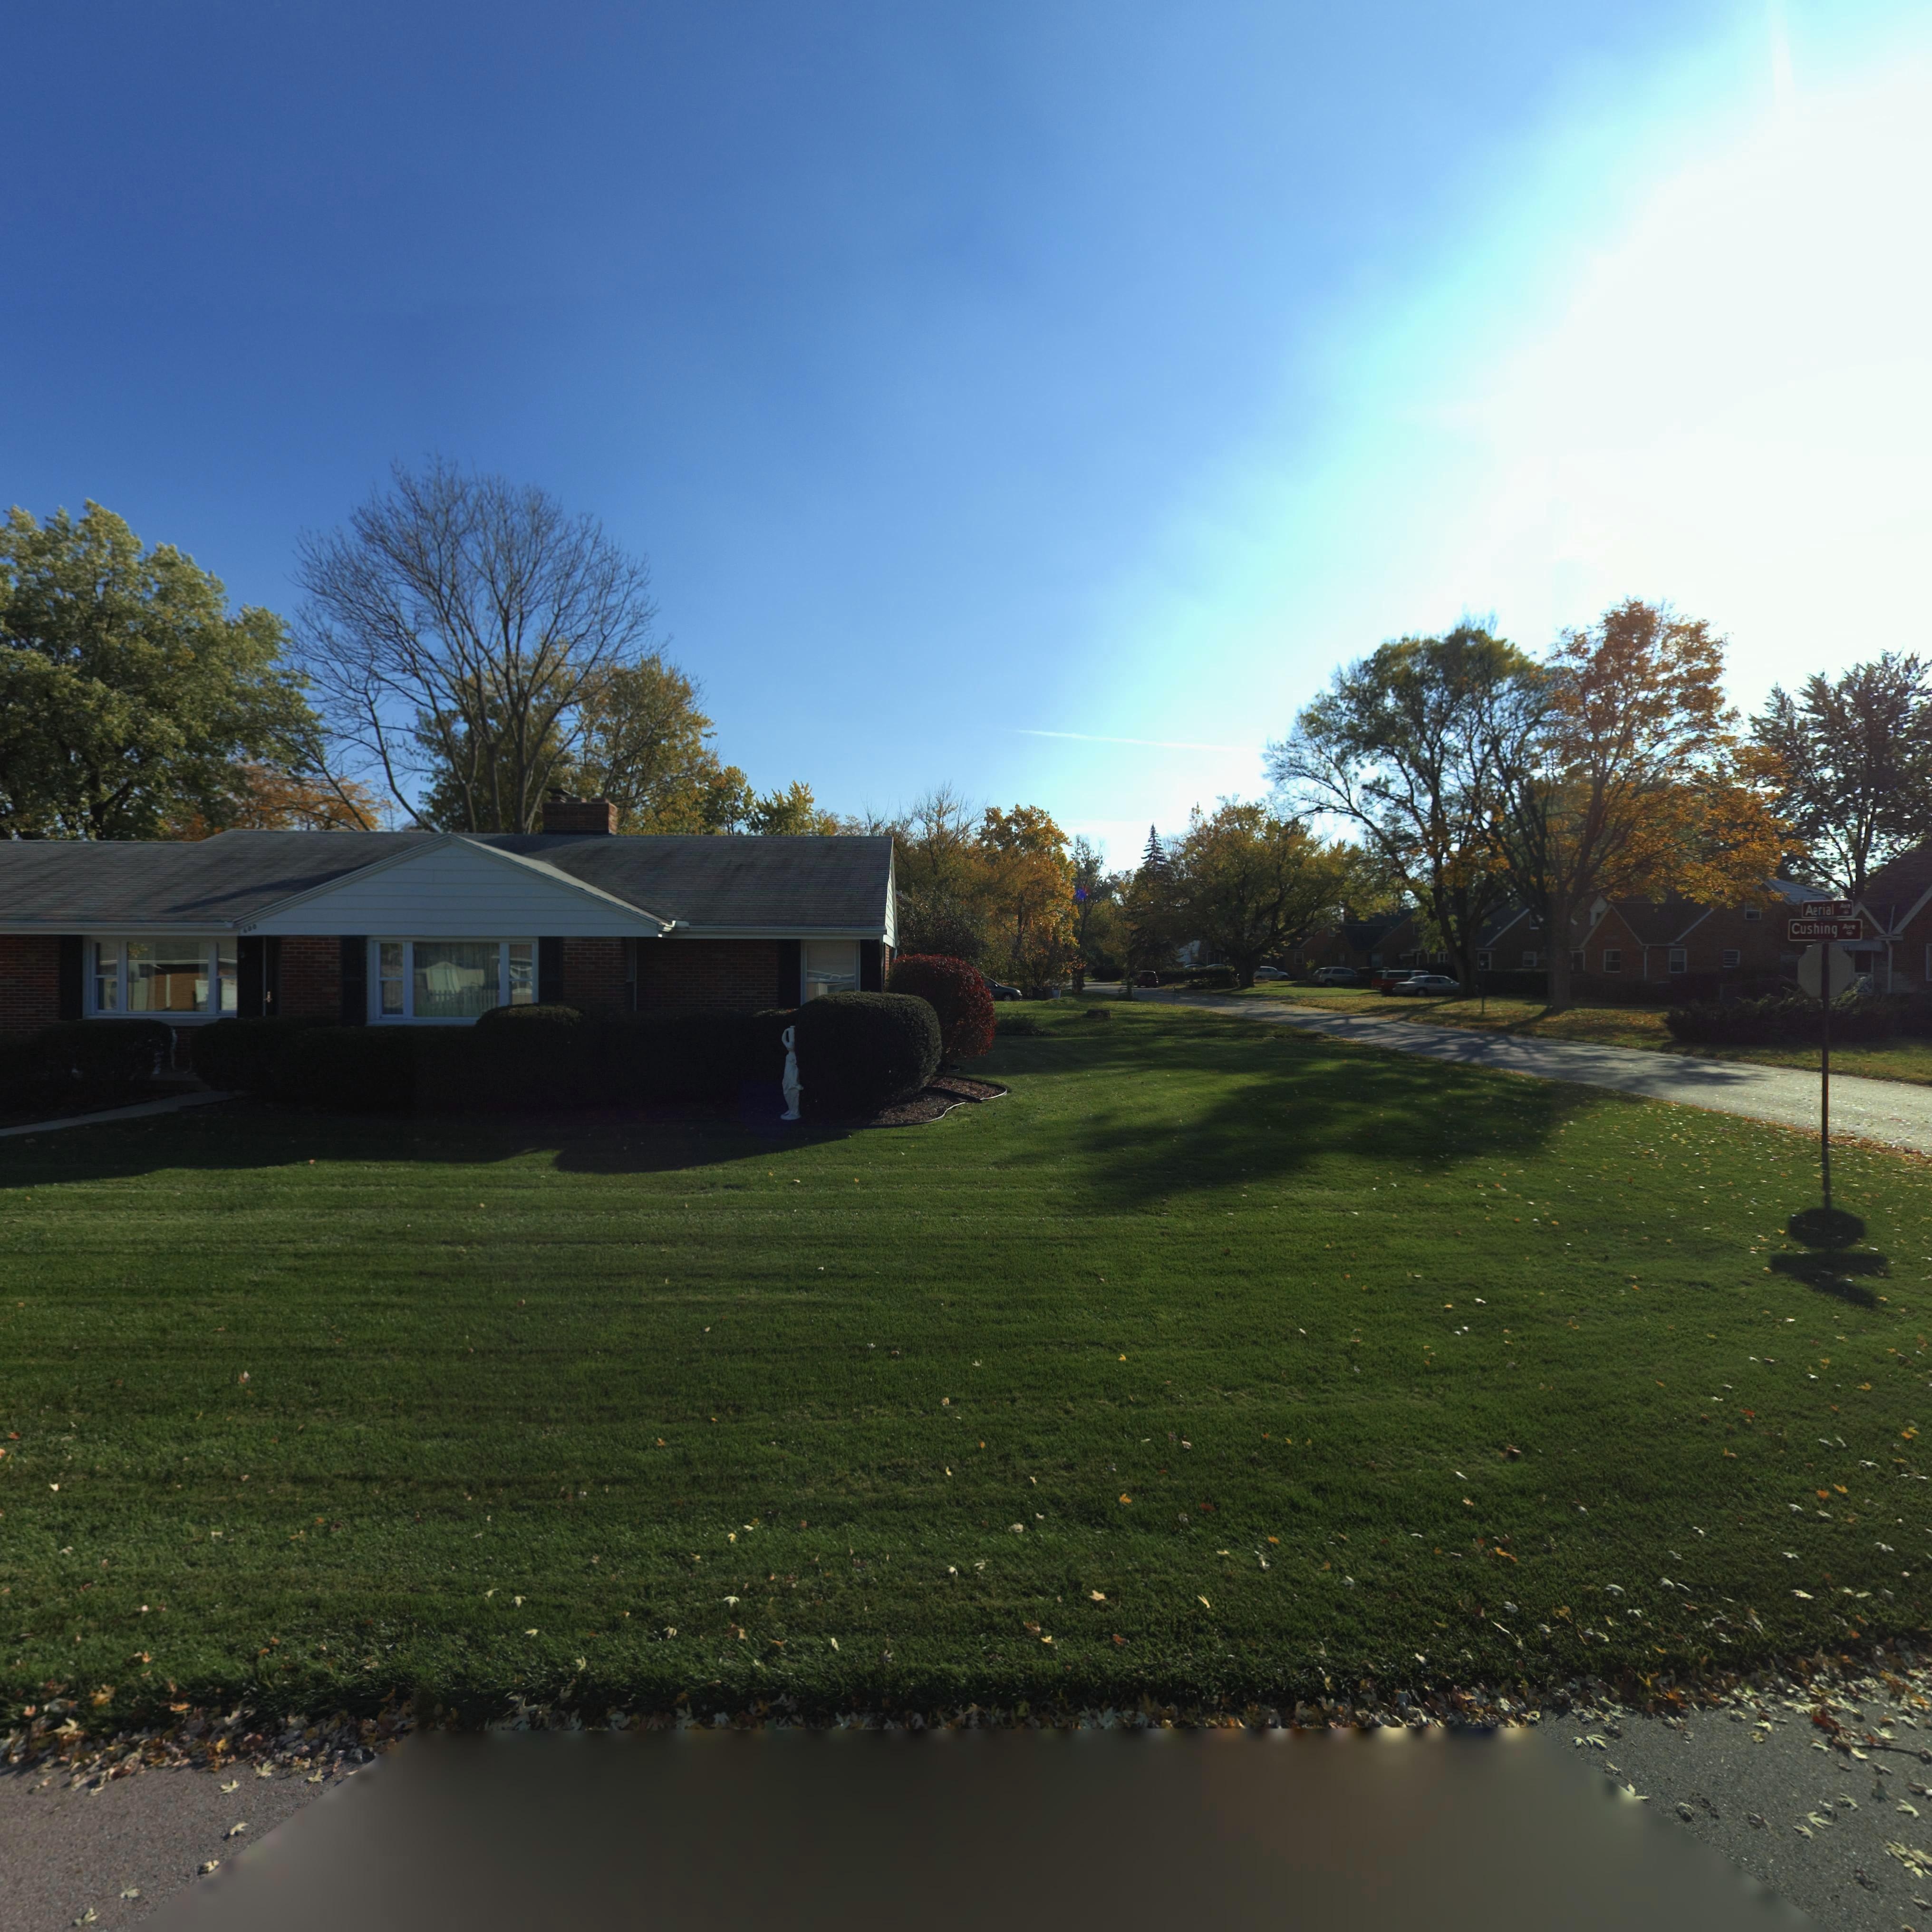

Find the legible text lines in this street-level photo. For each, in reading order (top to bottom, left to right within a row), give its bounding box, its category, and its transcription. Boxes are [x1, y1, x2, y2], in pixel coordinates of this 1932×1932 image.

[241, 922, 258, 935] StreetNumber: 600
[1790, 922, 1856, 939] StreetName: Cushing Ave